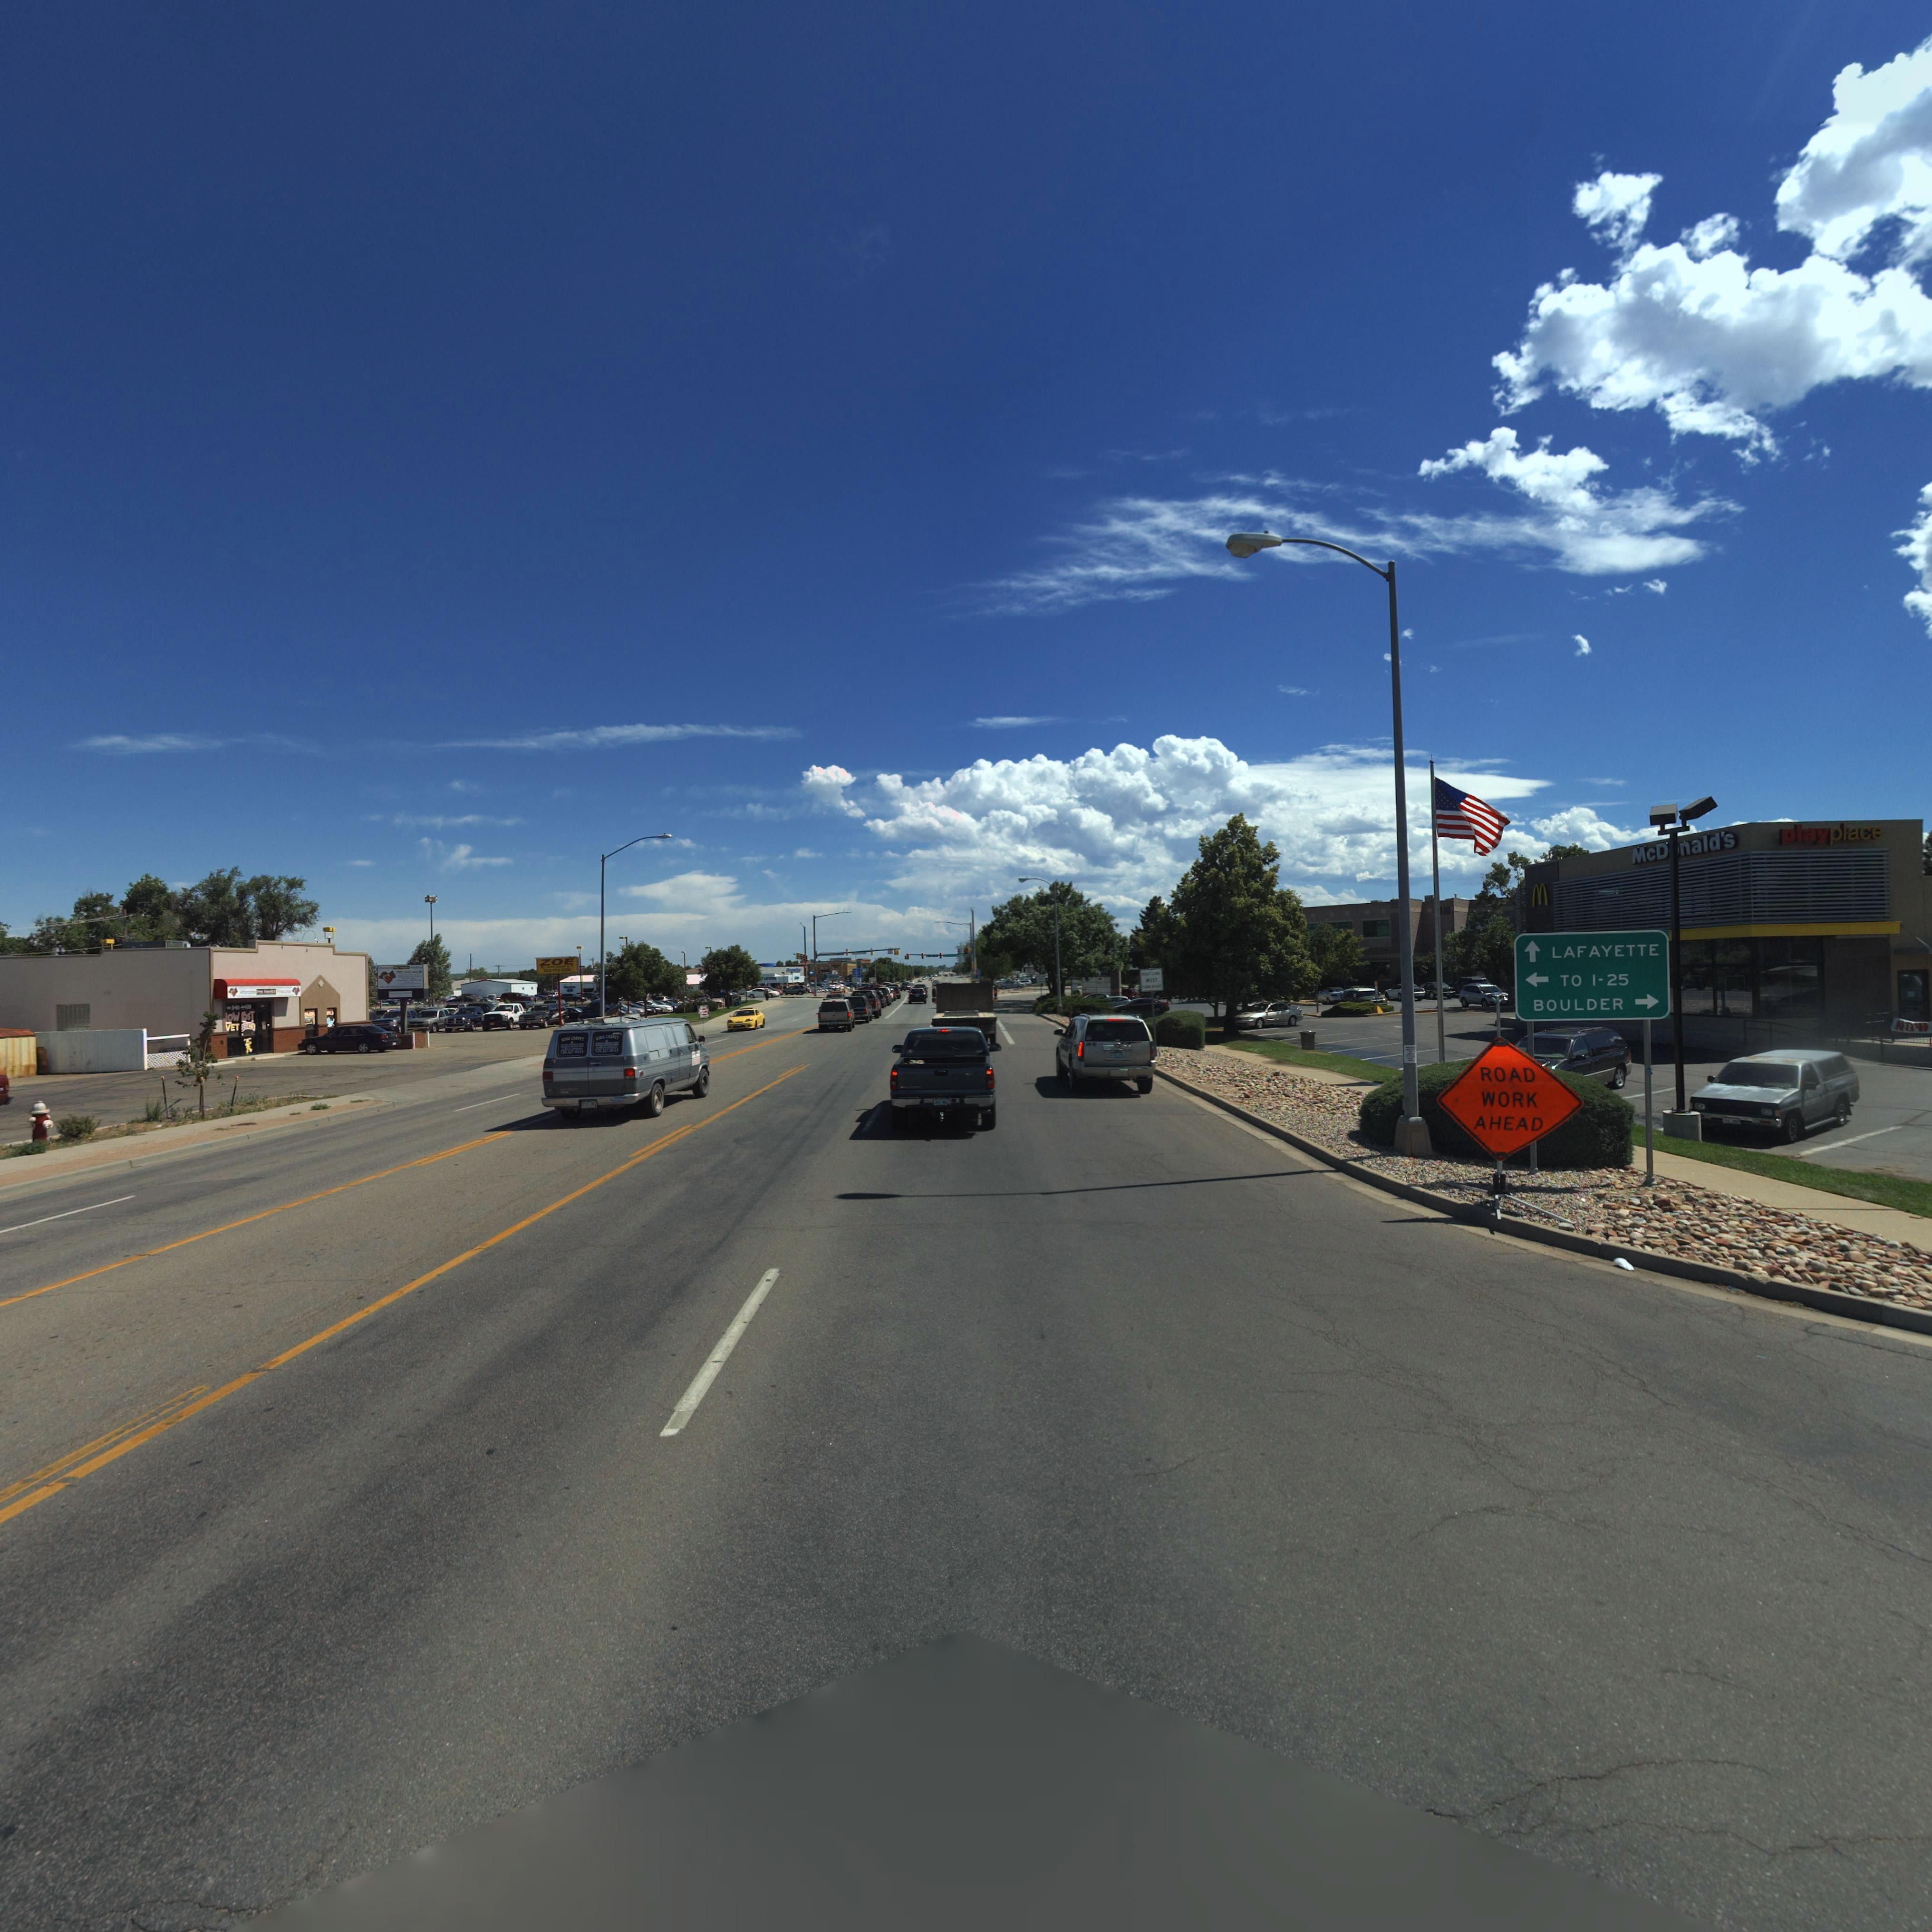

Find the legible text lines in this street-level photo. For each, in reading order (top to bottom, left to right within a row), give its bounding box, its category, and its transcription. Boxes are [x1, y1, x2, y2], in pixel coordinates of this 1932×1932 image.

[1629, 829, 1738, 866] BusinessName: McD*nald*s
[539, 957, 575, 966] BusinessName: ZOE
[1474, 1116, 1542, 1131] BusinessName: AHEAD